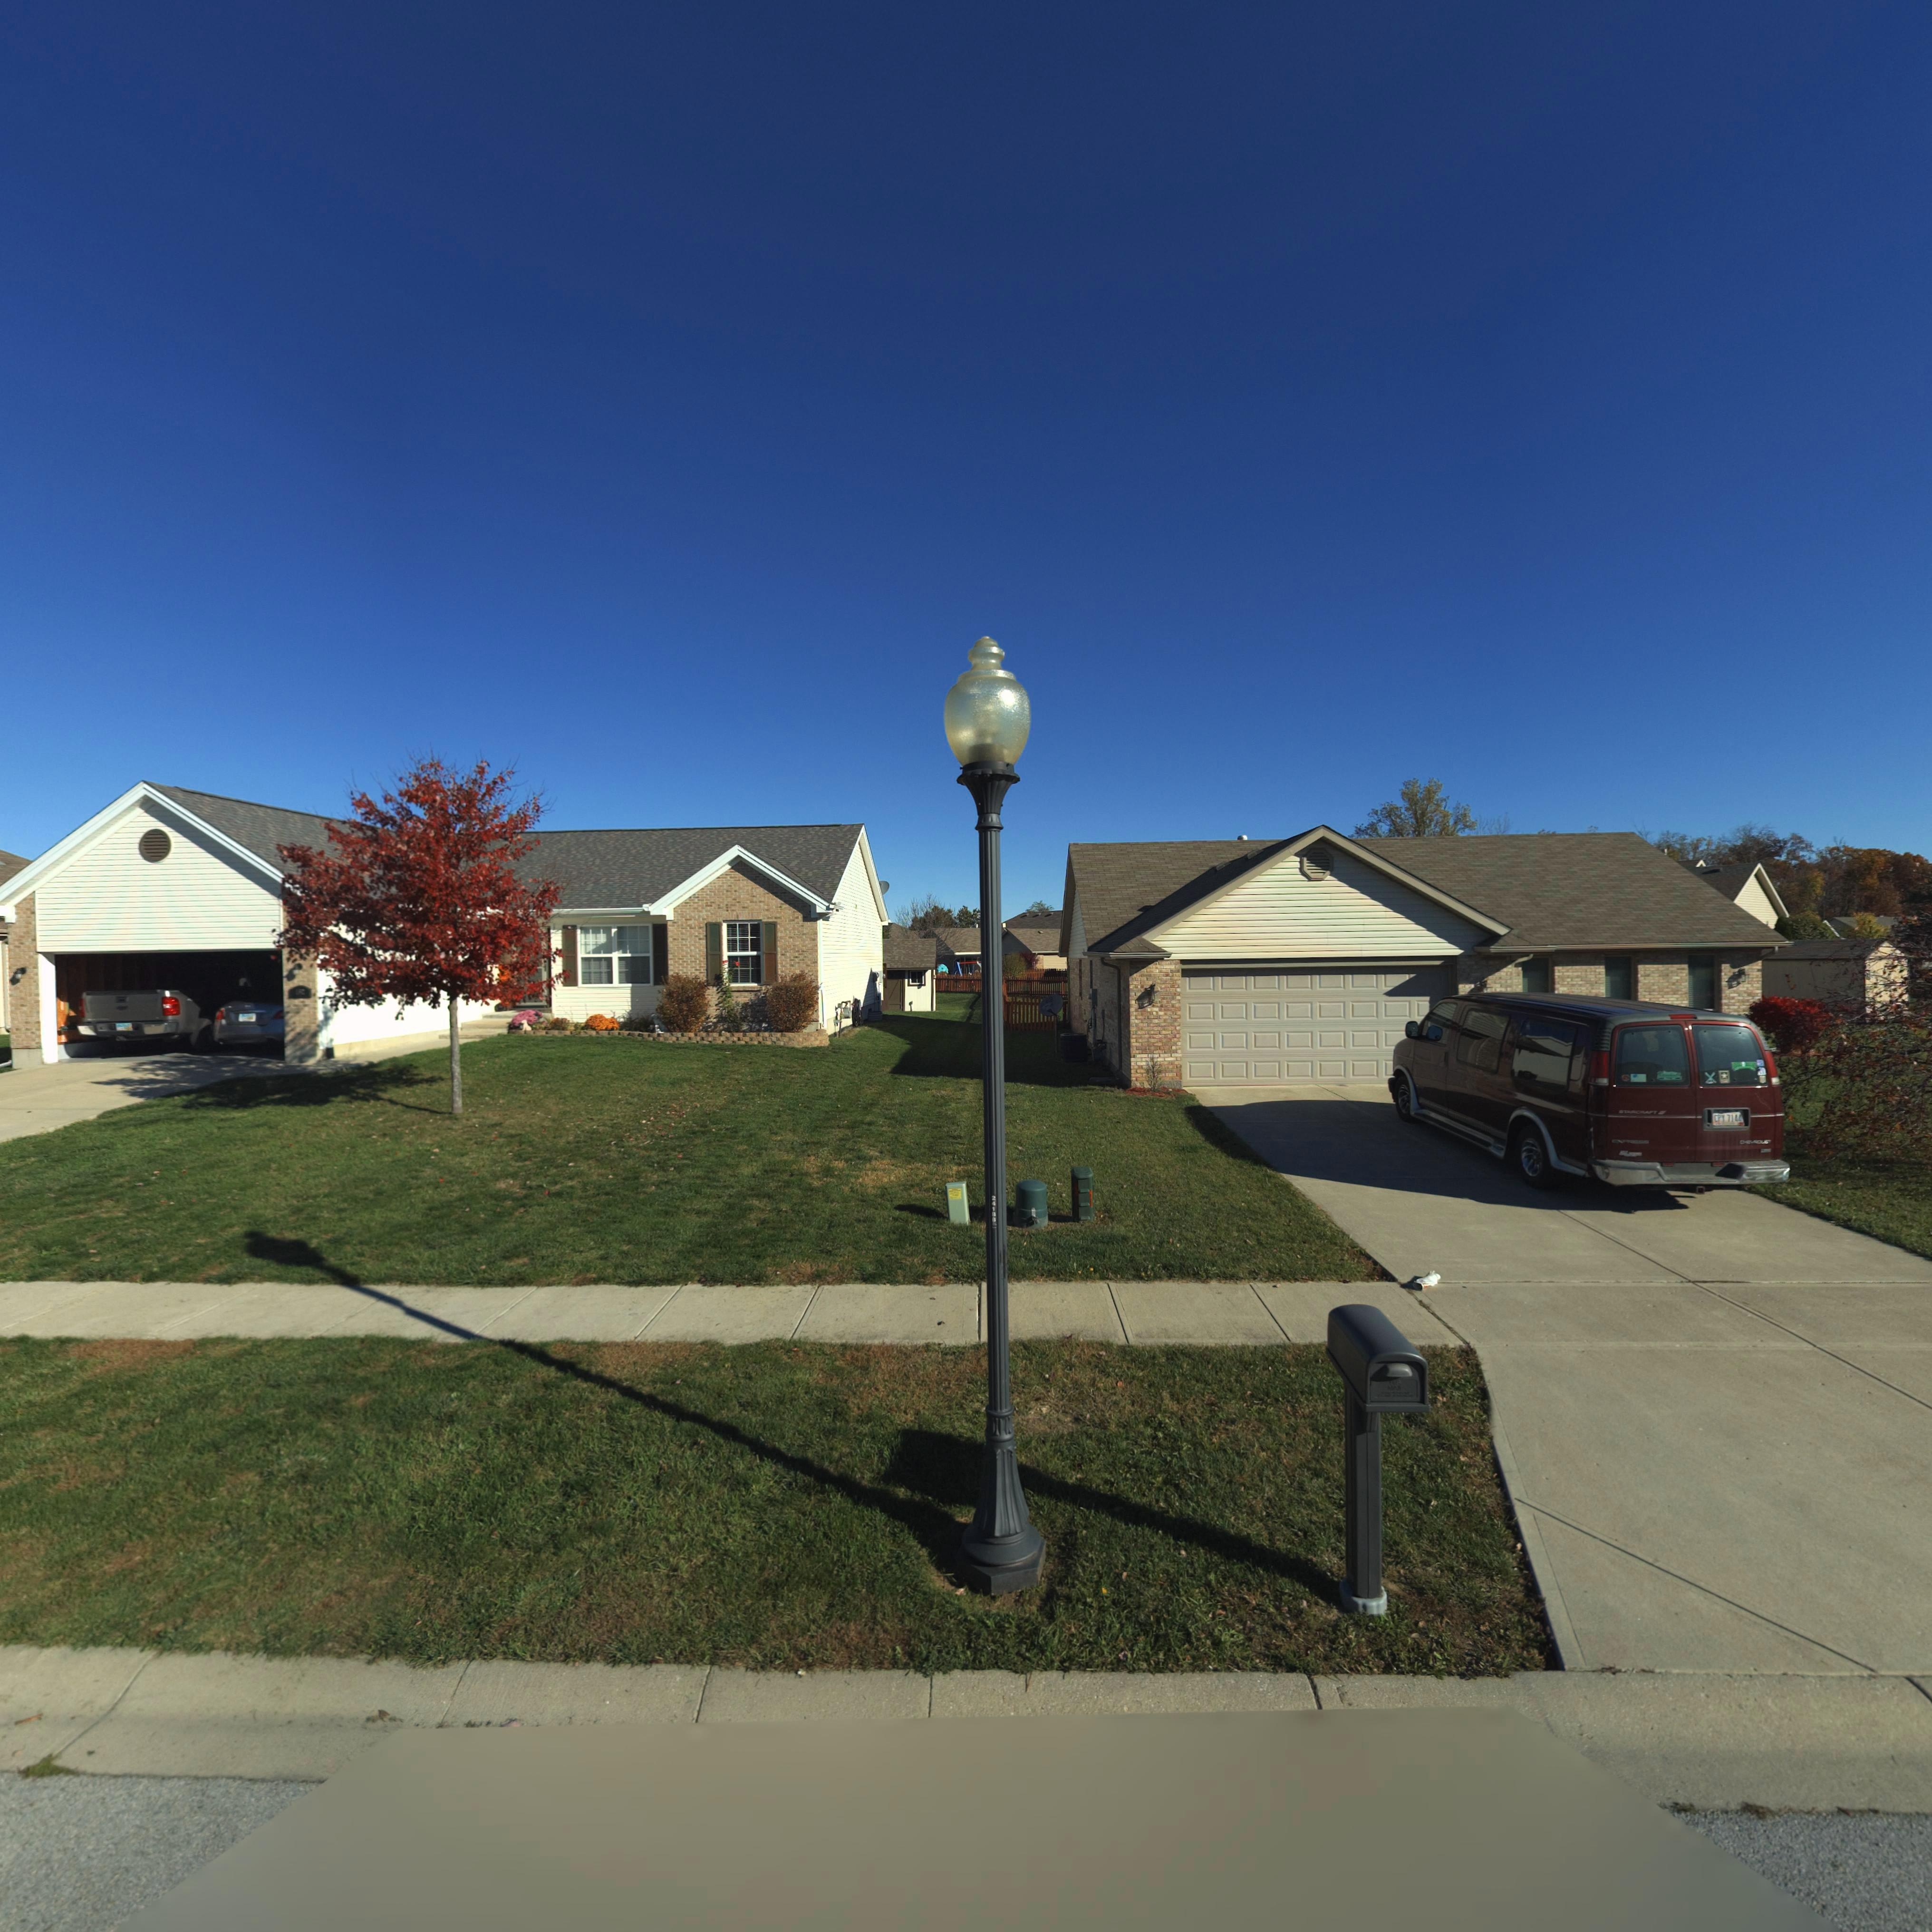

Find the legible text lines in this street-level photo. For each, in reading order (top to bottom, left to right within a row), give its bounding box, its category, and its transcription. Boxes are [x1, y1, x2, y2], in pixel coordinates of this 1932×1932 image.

[295, 988, 305, 995] StreetNumber: **2